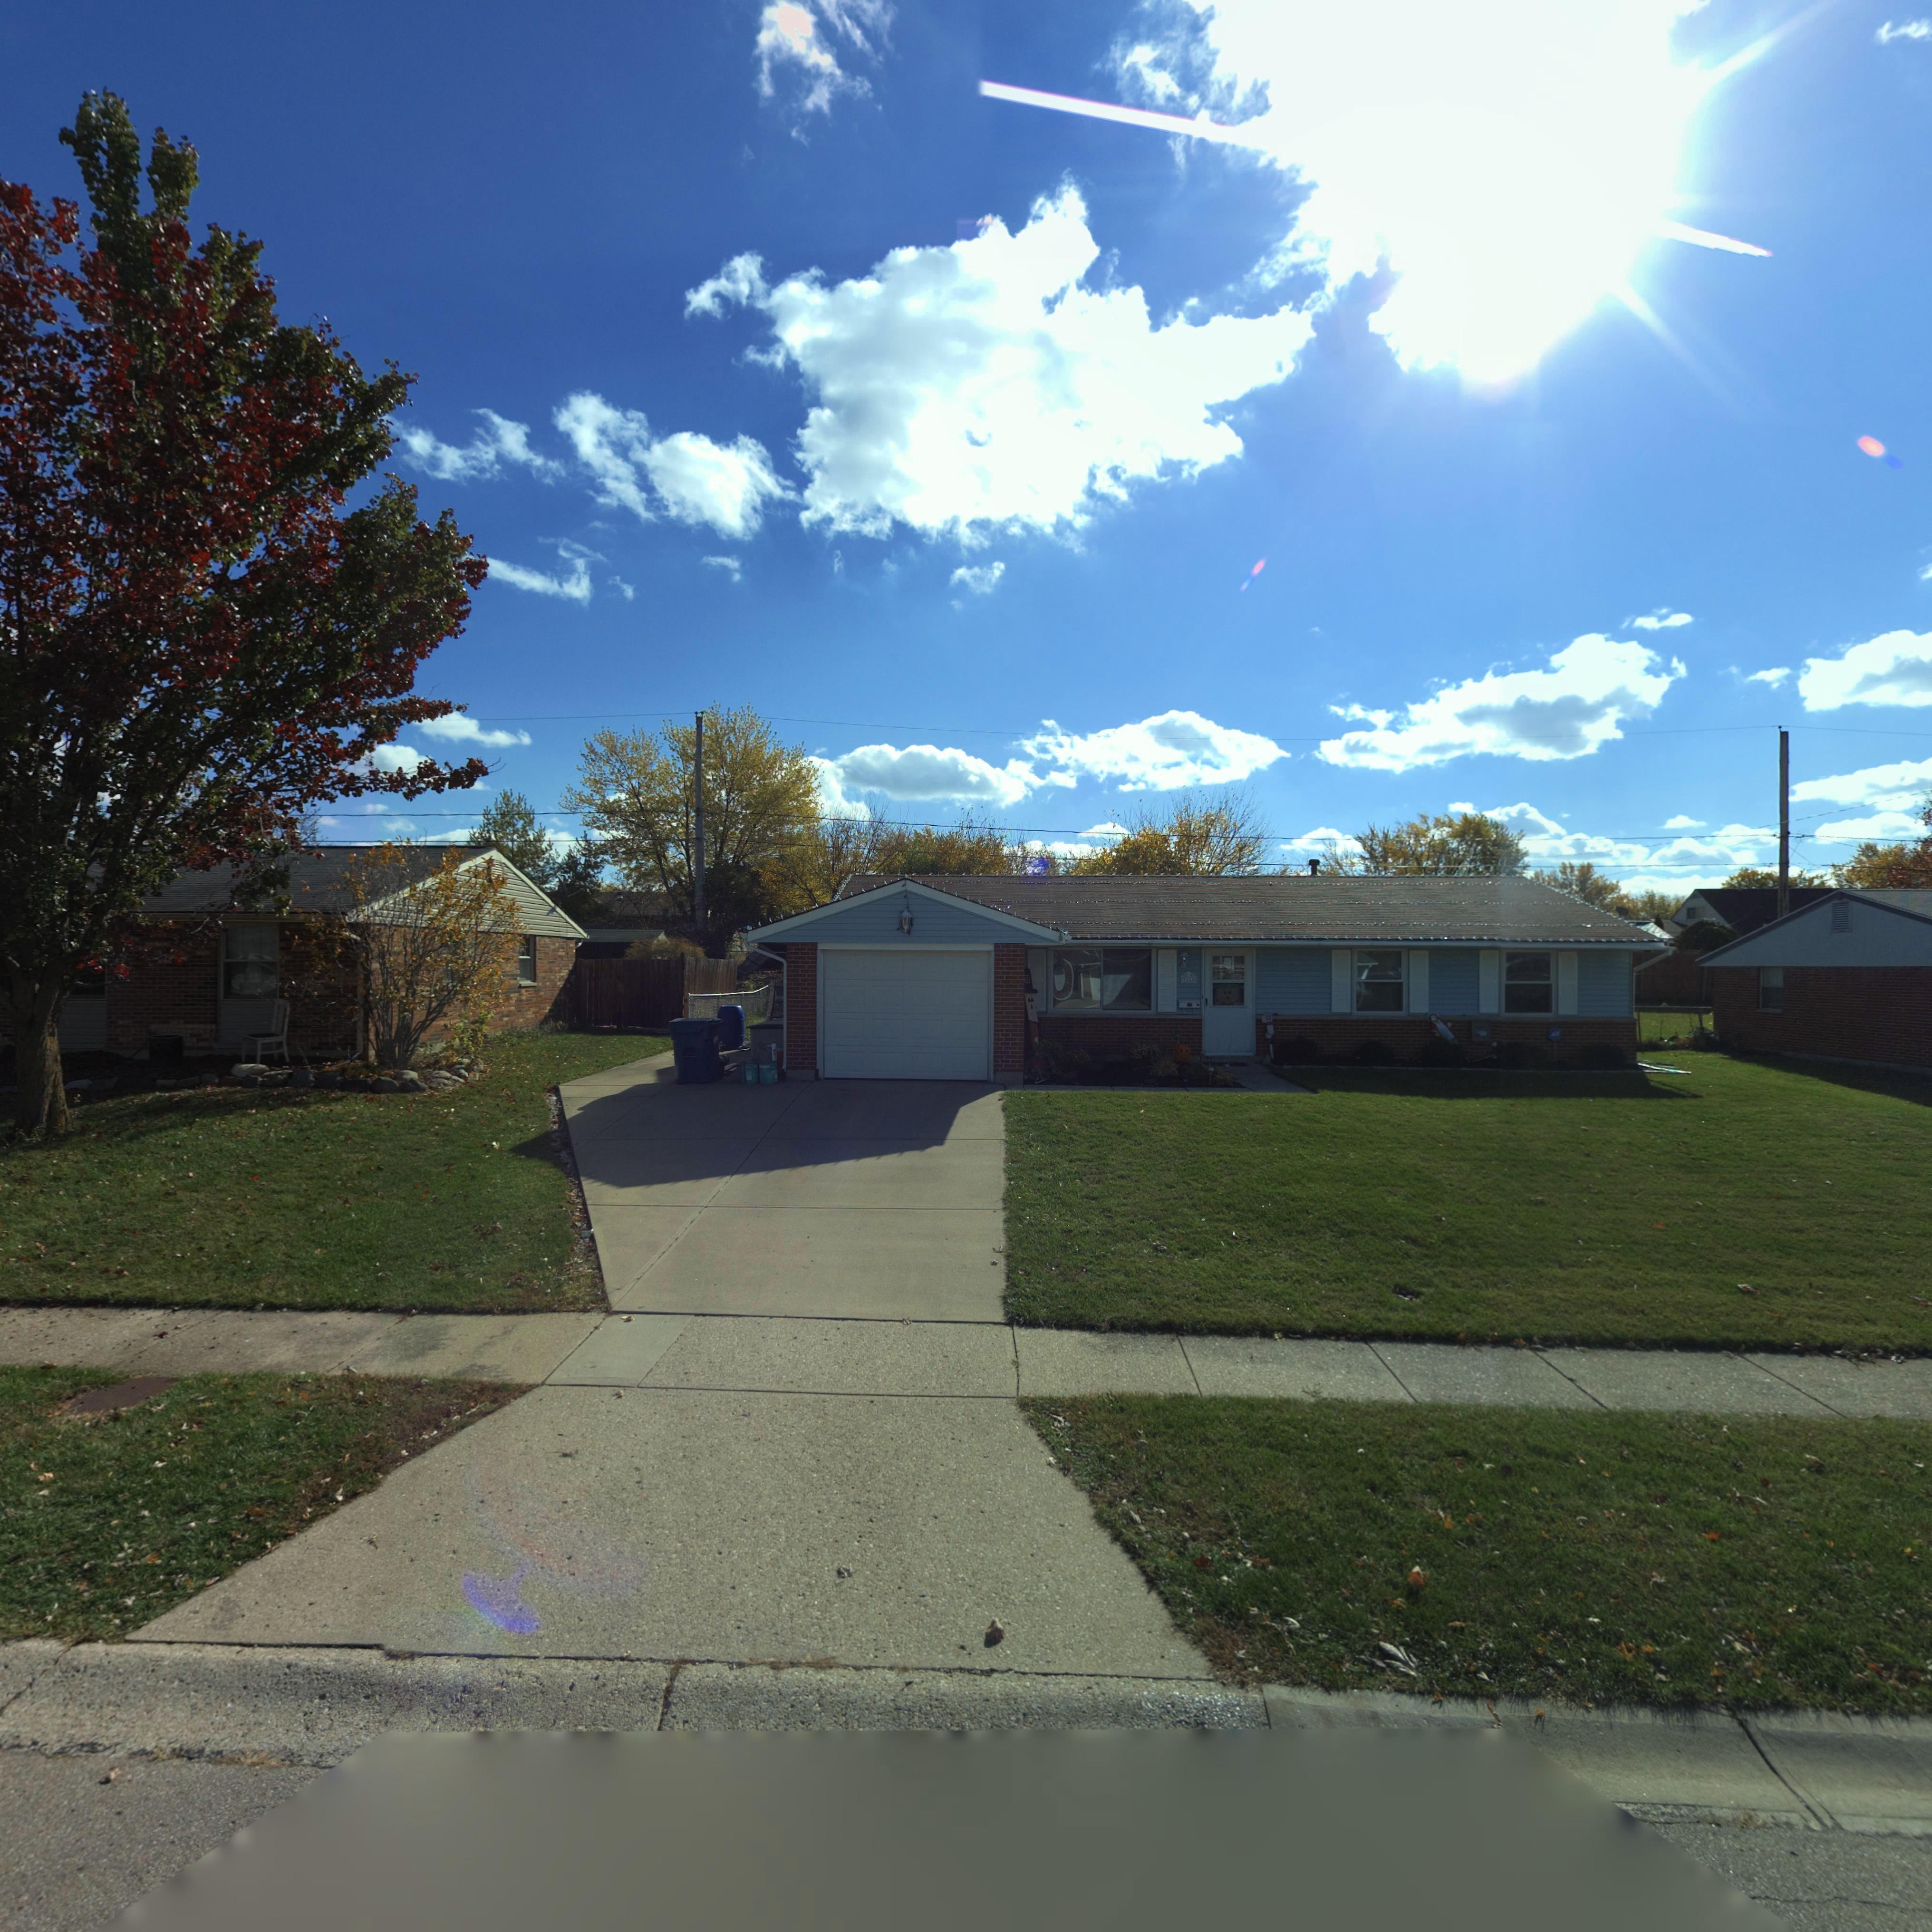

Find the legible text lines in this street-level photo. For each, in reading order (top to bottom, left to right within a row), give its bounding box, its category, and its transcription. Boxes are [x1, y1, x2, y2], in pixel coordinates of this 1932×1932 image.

[1183, 977, 1196, 983] StreetNumber: 7660